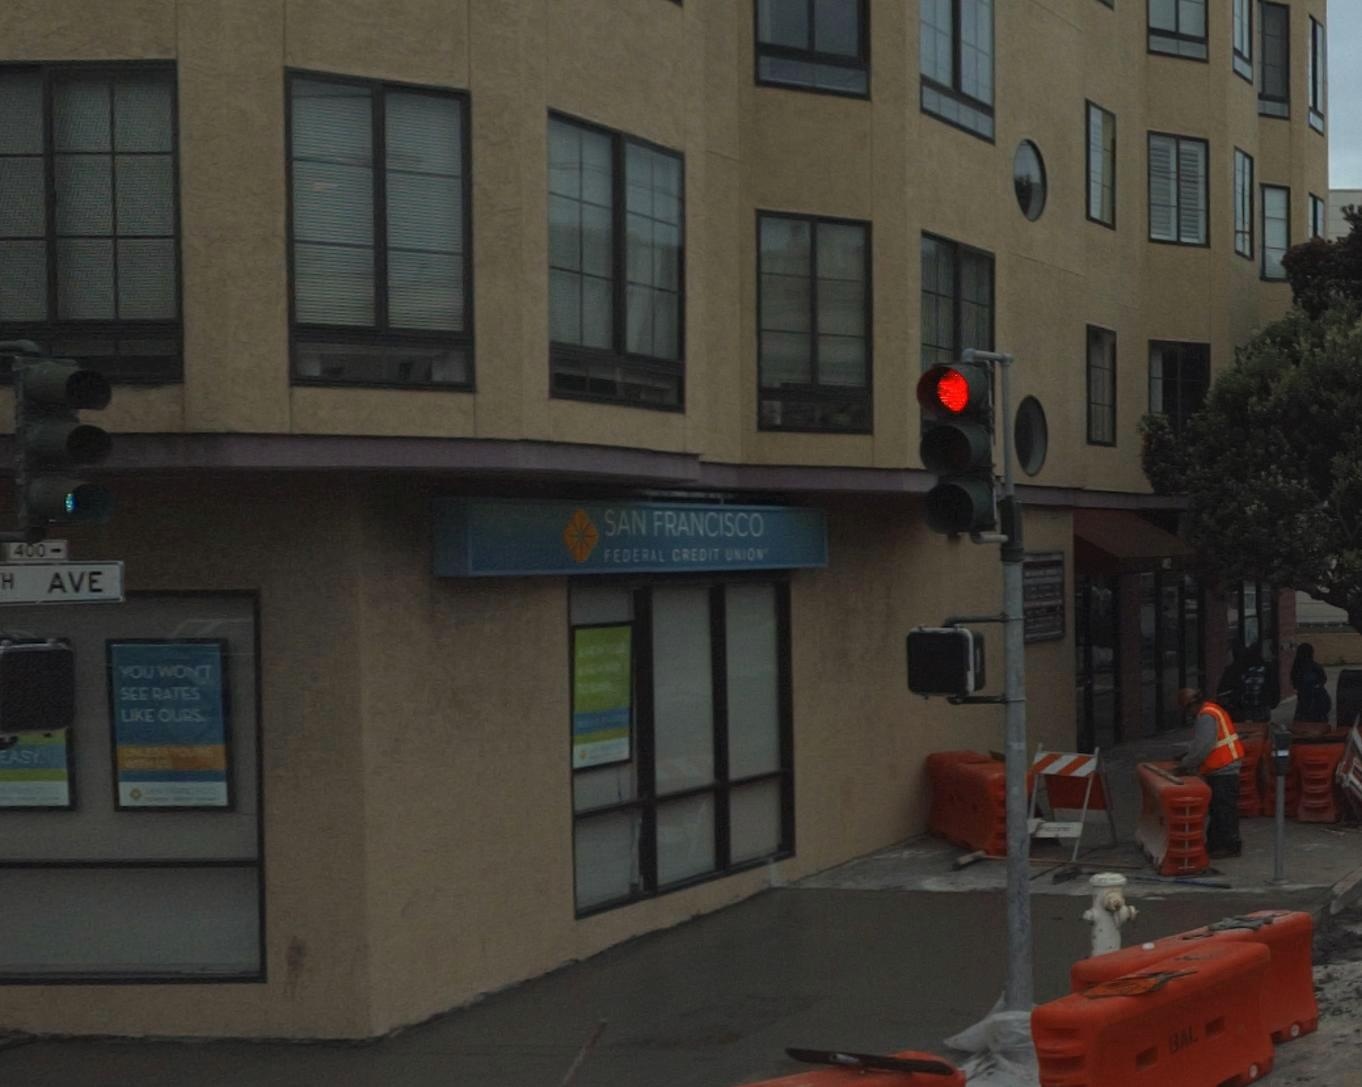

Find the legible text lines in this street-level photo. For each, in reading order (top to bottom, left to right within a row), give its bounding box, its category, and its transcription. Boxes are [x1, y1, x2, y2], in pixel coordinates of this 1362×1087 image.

[602, 507, 767, 539] BusinessName: SAN FRANCISCO
[9, 542, 49, 559] StreetNumber: 400
[601, 546, 766, 565] BusinessName: FEDERAL CREDIT UNION
[0, 571, 16, 591] StreetName: H
[42, 568, 106, 595] StreetName: AVE
[117, 662, 213, 682] None: YOU WONT
[117, 684, 203, 704] None: SEE RATES
[118, 706, 208, 726] None: LIKE OURS
[1167, 1022, 1201, 1059] None: BAL